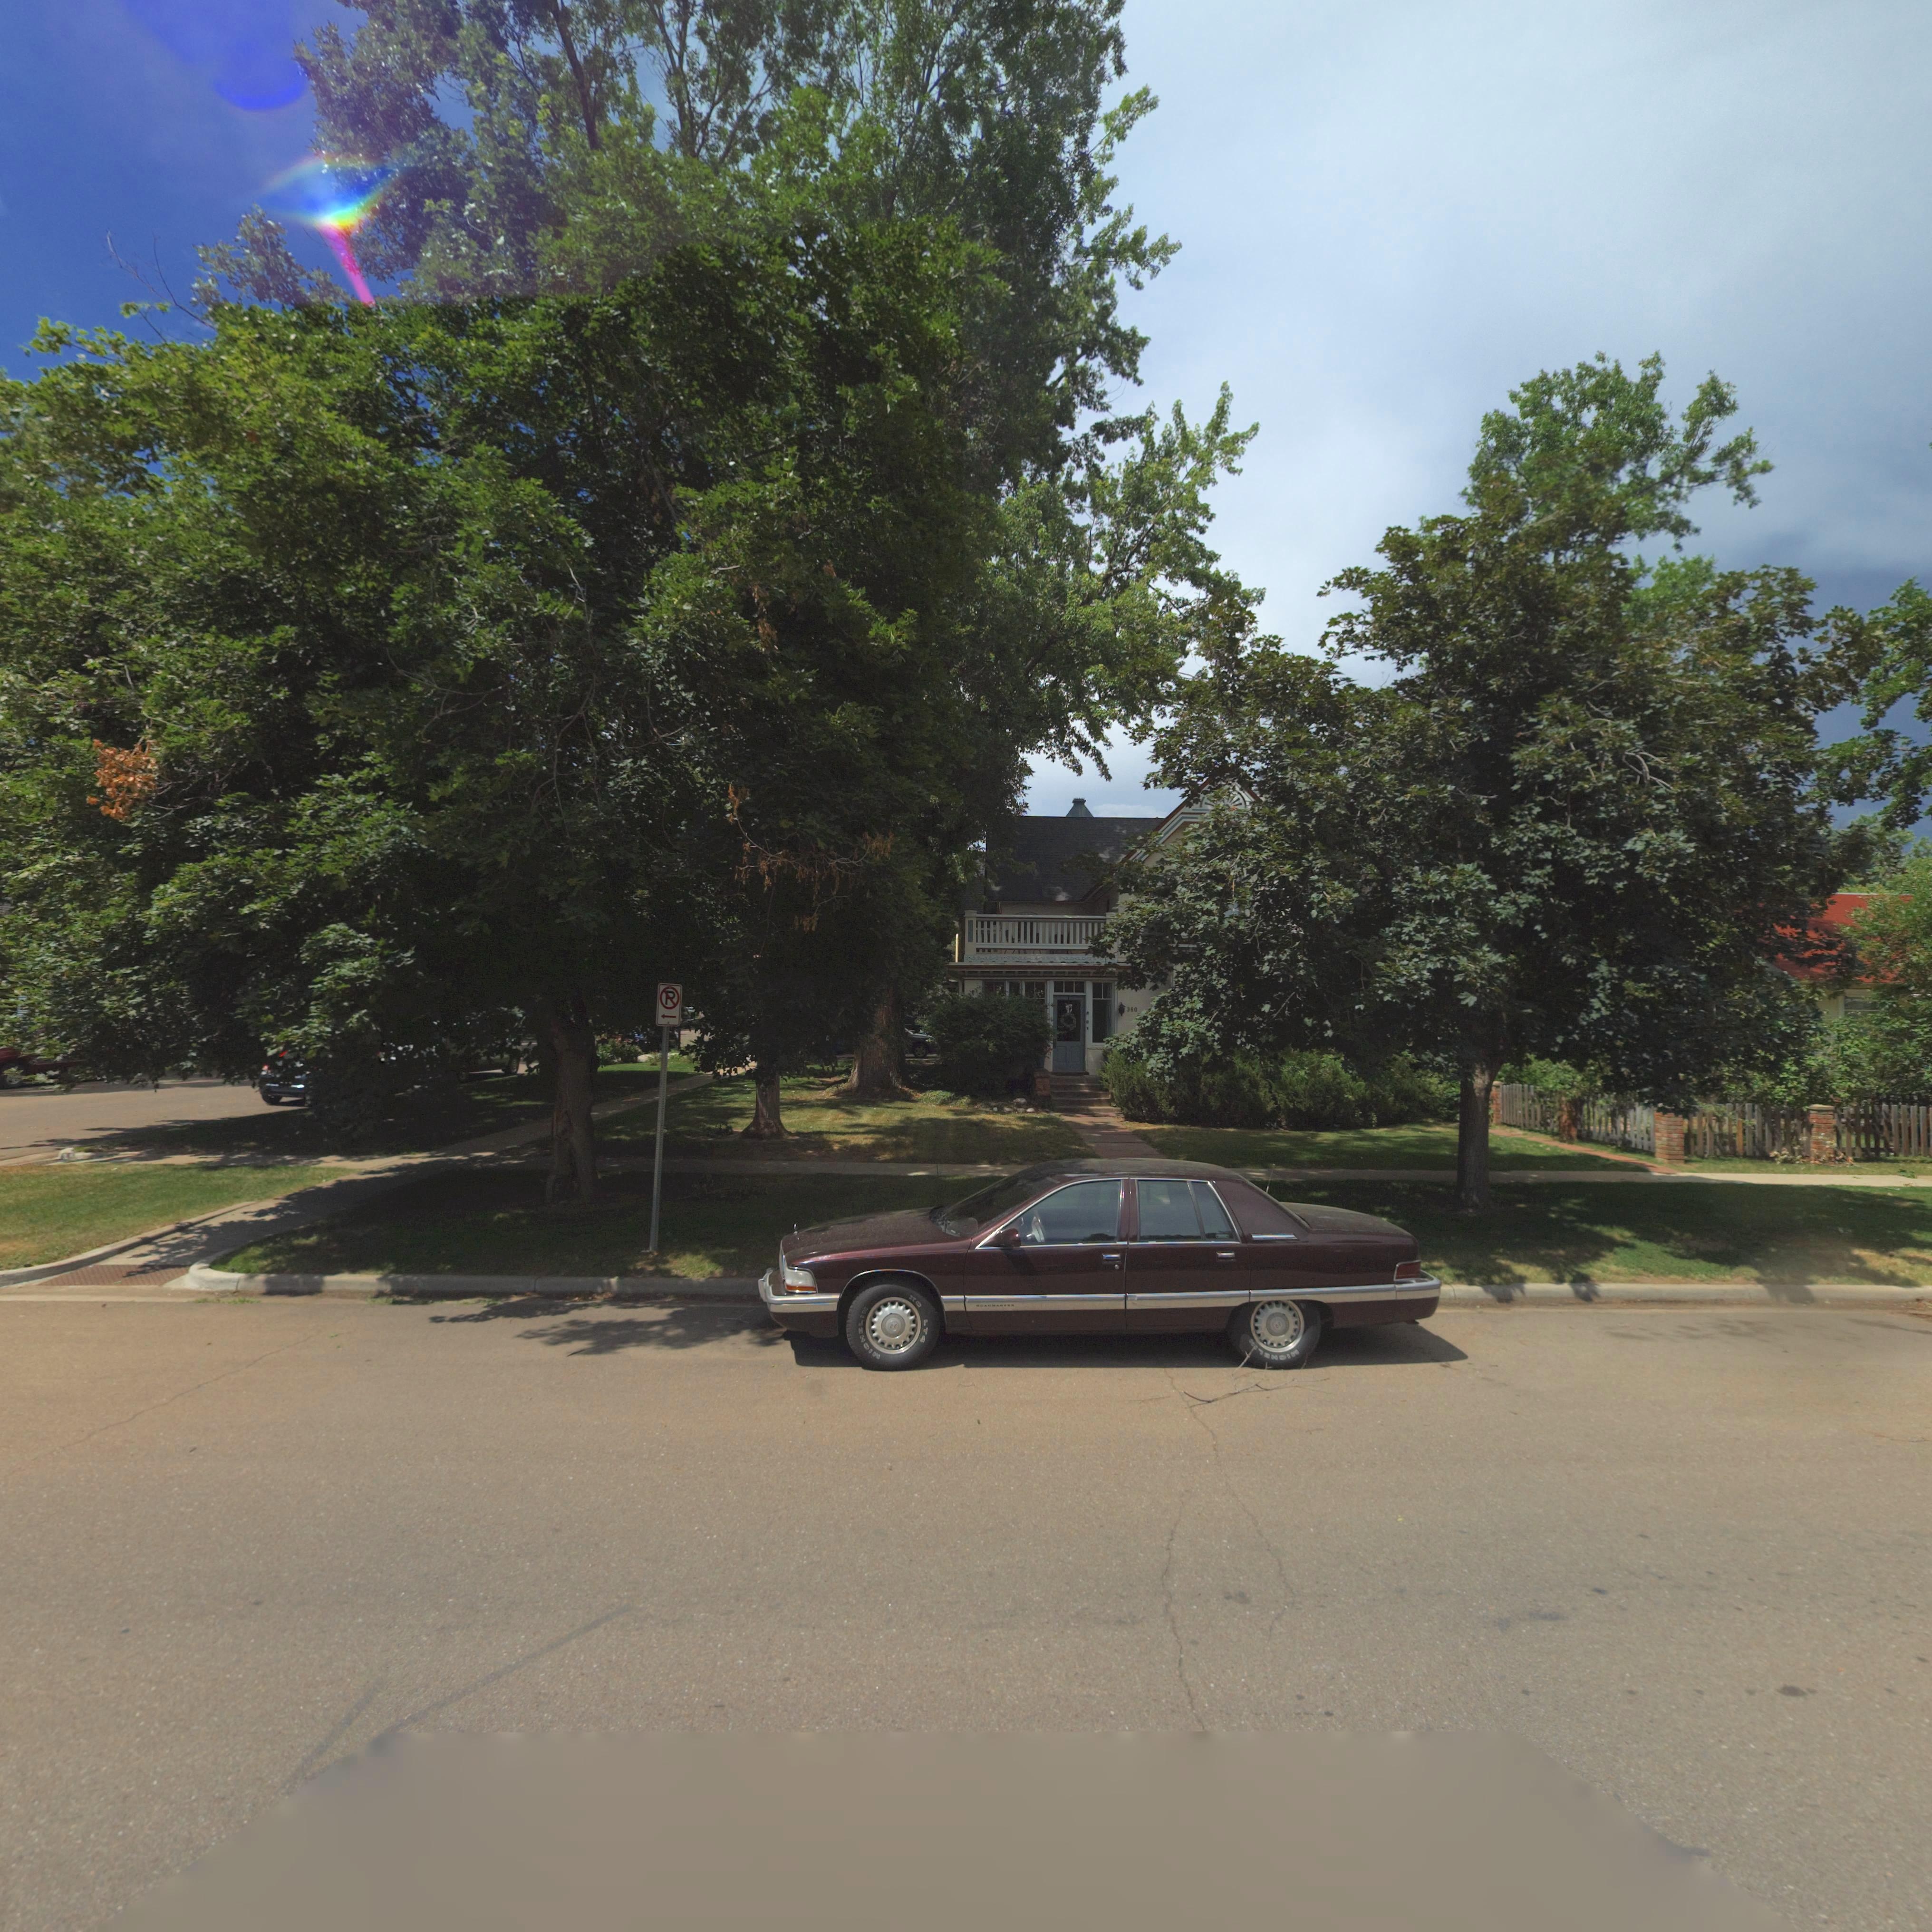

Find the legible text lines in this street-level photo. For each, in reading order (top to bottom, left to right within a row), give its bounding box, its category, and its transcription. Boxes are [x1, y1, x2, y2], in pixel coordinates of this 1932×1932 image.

[1126, 1006, 1137, 1012] StreetNumber: 360